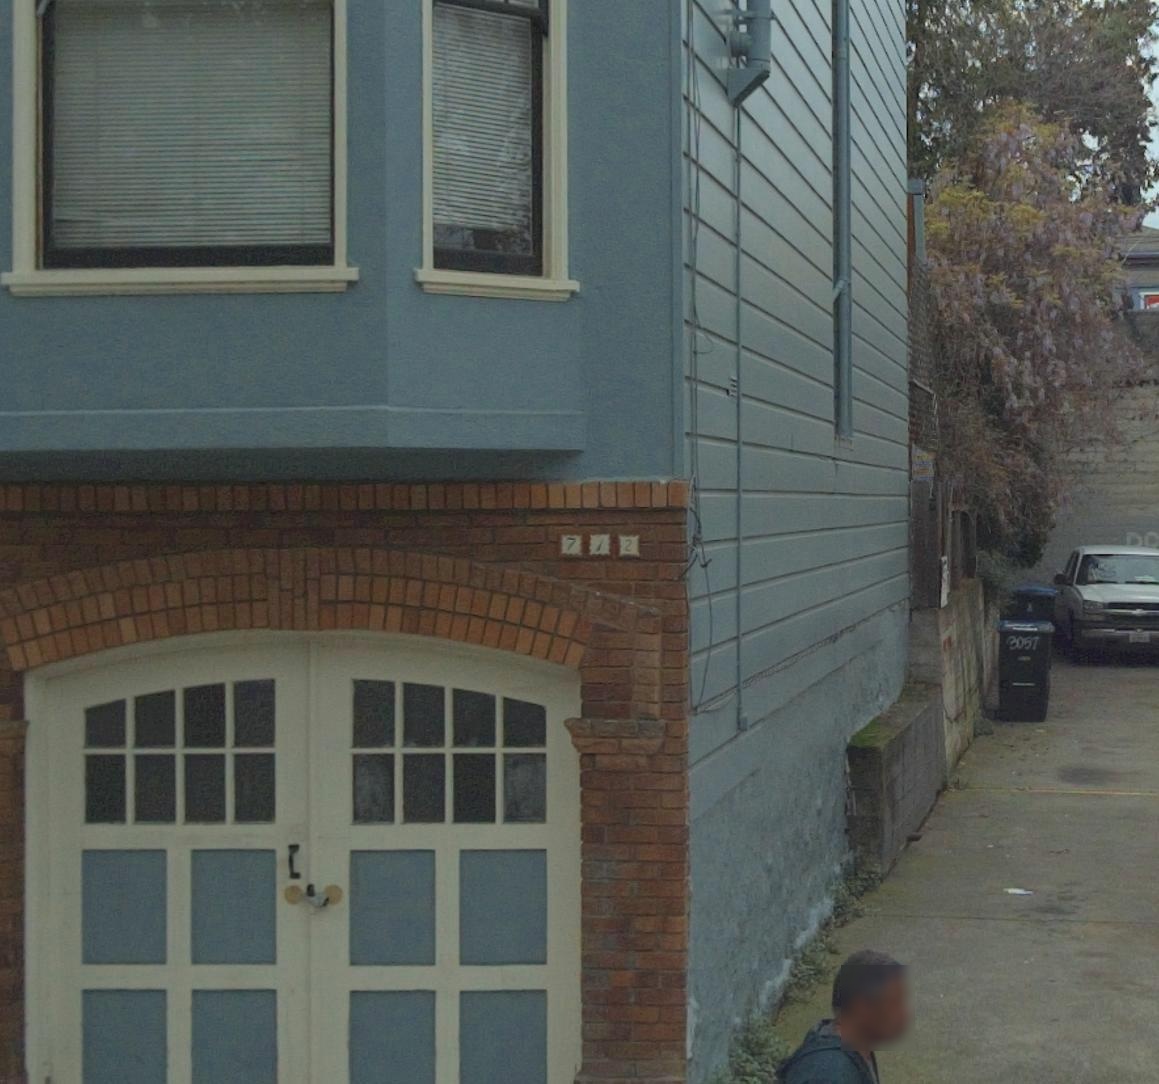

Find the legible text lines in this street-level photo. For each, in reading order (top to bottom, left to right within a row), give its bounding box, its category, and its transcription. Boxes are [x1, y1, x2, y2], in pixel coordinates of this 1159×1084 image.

[562, 535, 640, 556] StreetNumber: 712
[1004, 635, 1042, 652] None: 3057